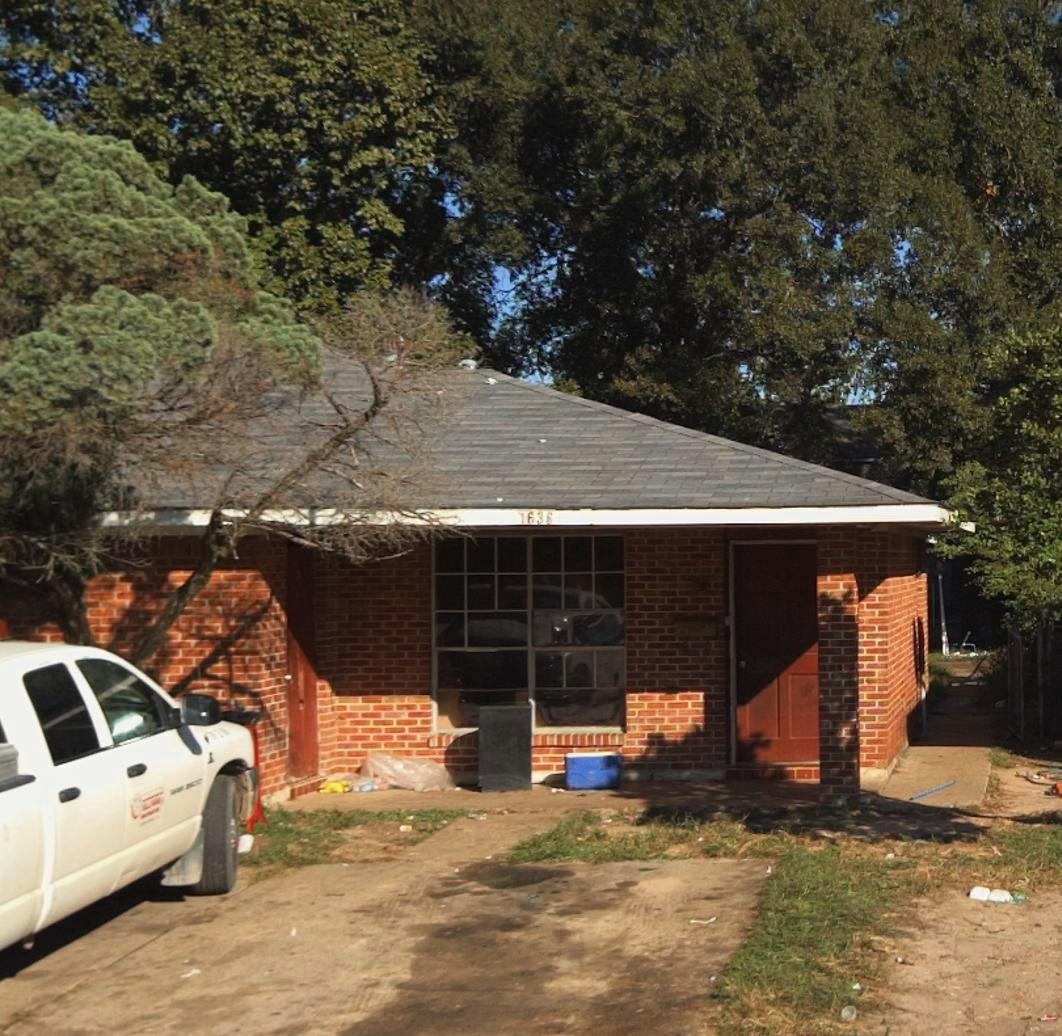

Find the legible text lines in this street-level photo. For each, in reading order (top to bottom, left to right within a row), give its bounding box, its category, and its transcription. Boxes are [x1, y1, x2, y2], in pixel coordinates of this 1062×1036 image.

[520, 510, 554, 526] StreetNumber: 1636